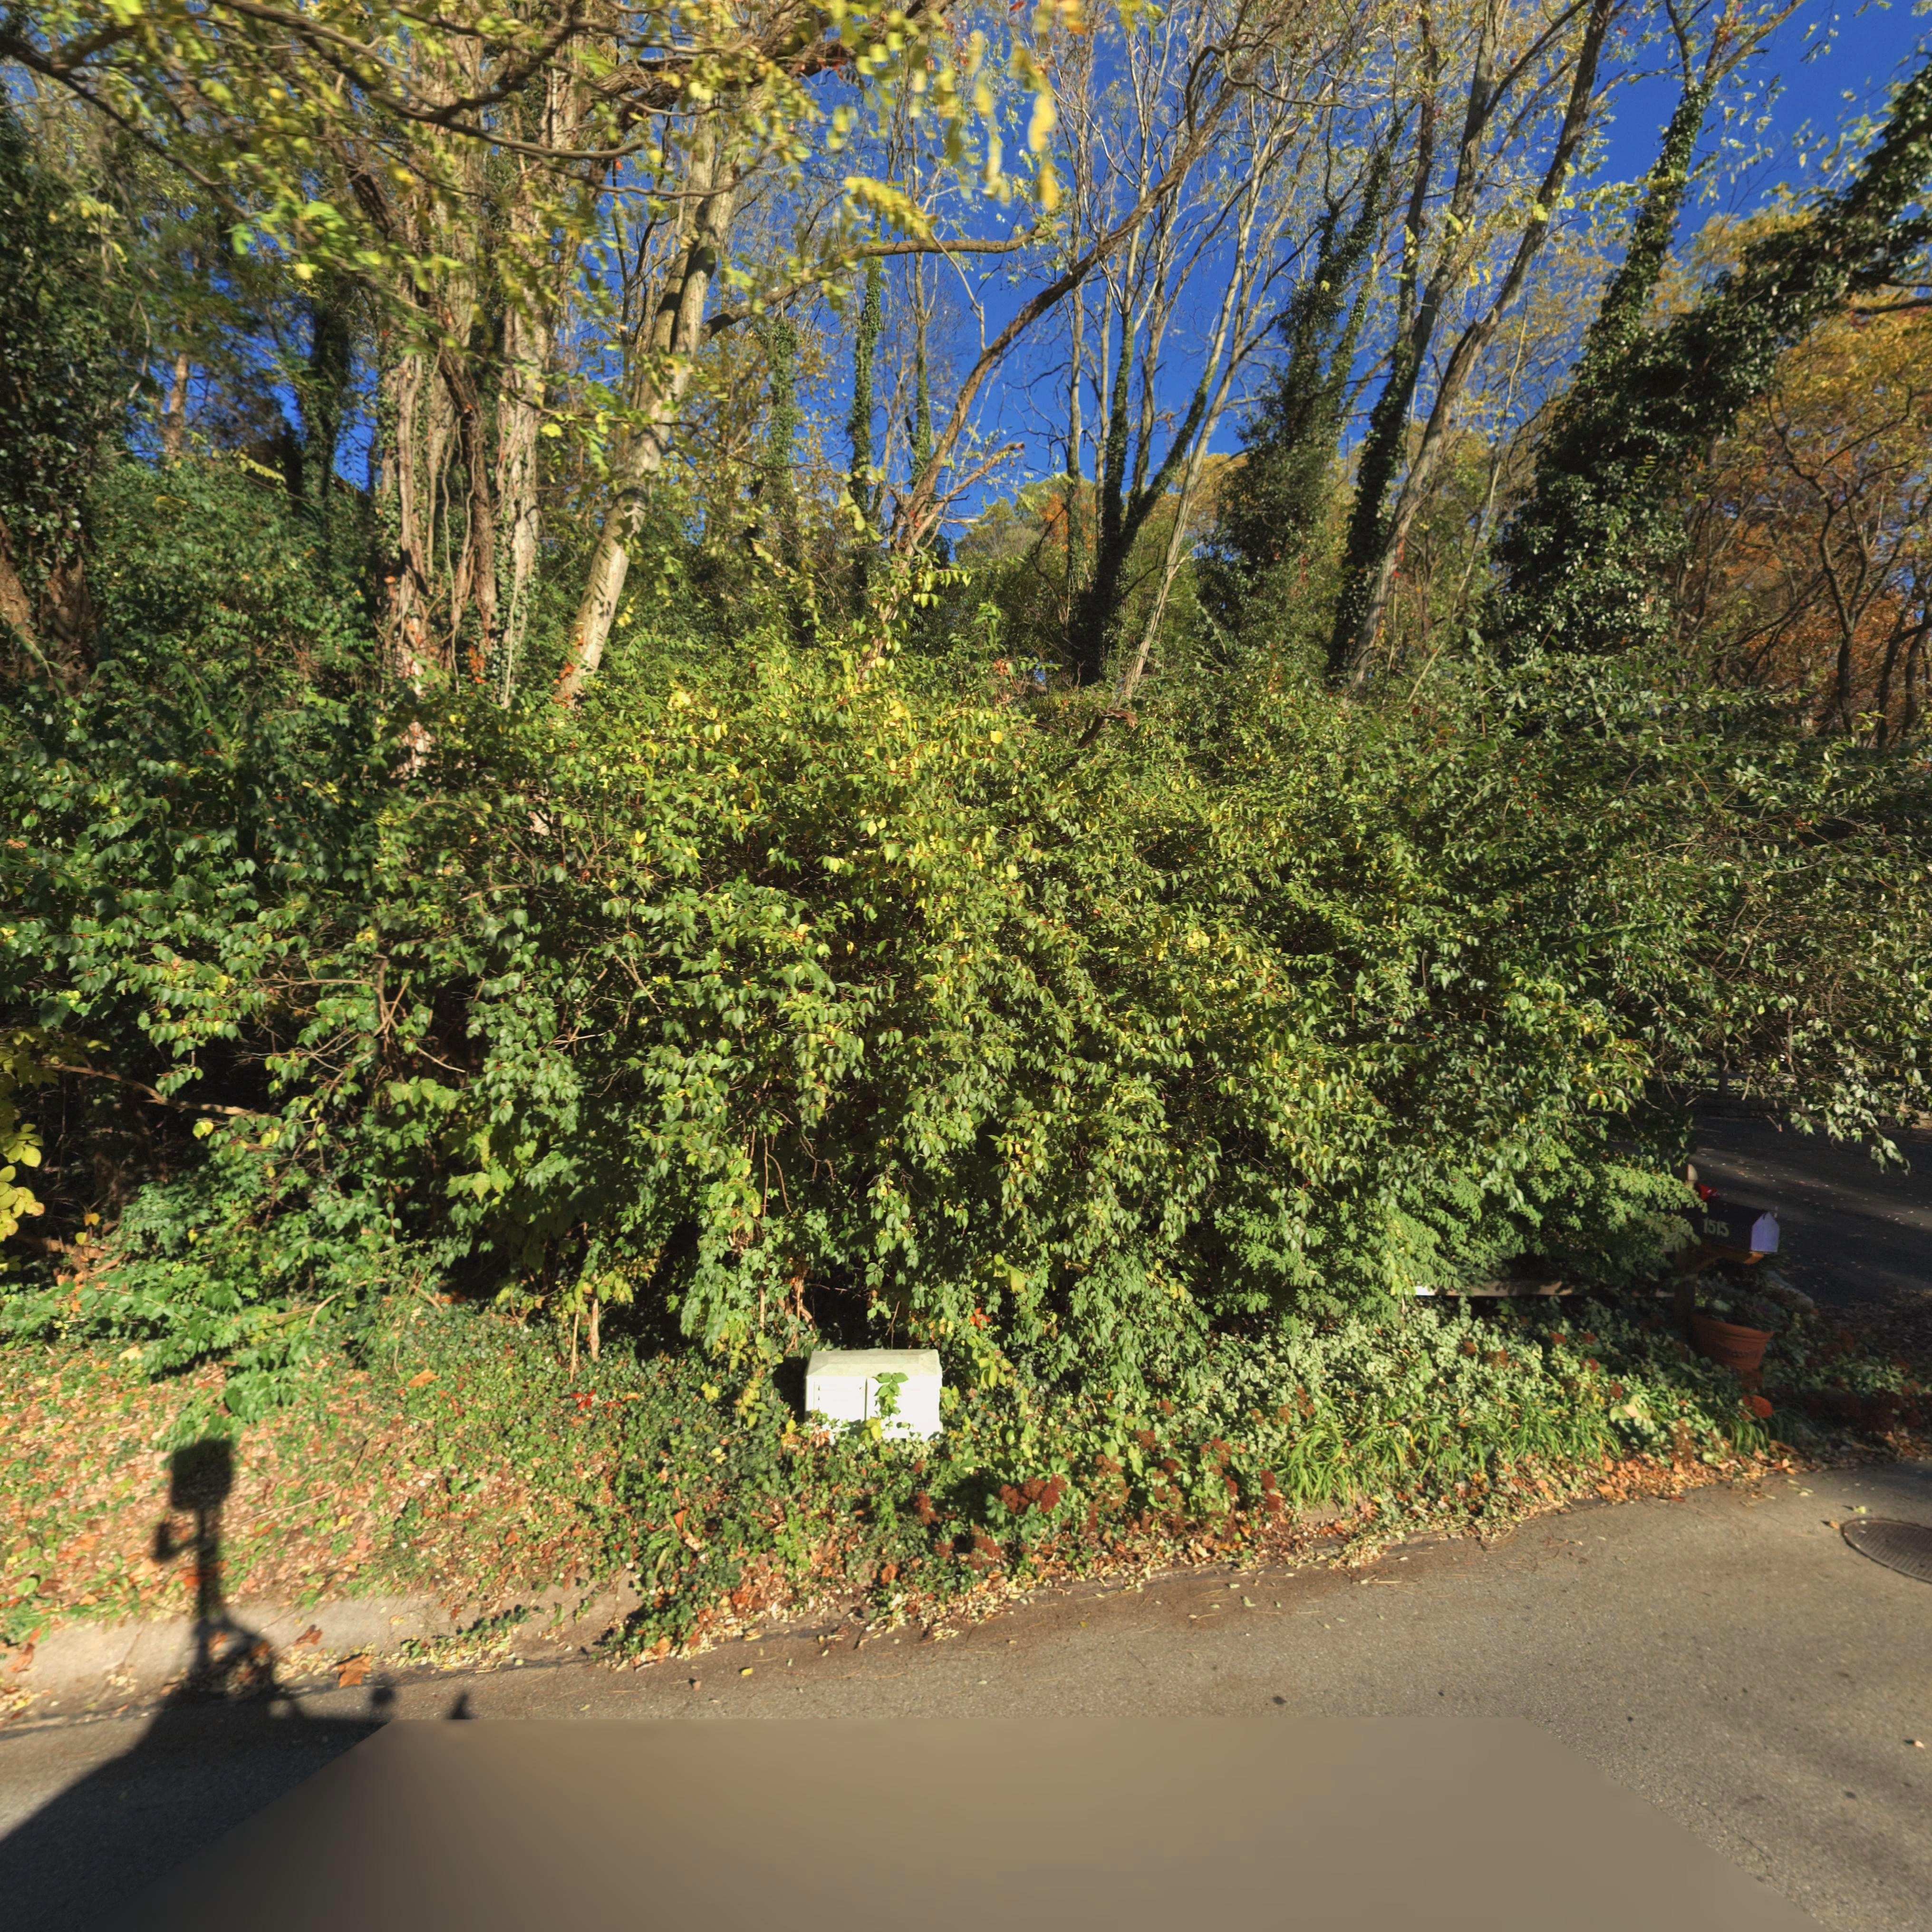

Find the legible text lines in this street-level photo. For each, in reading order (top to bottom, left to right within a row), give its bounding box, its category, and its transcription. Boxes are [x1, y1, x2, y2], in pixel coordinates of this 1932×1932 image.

[1701, 1216, 1730, 1239] StreetNumber: 1515